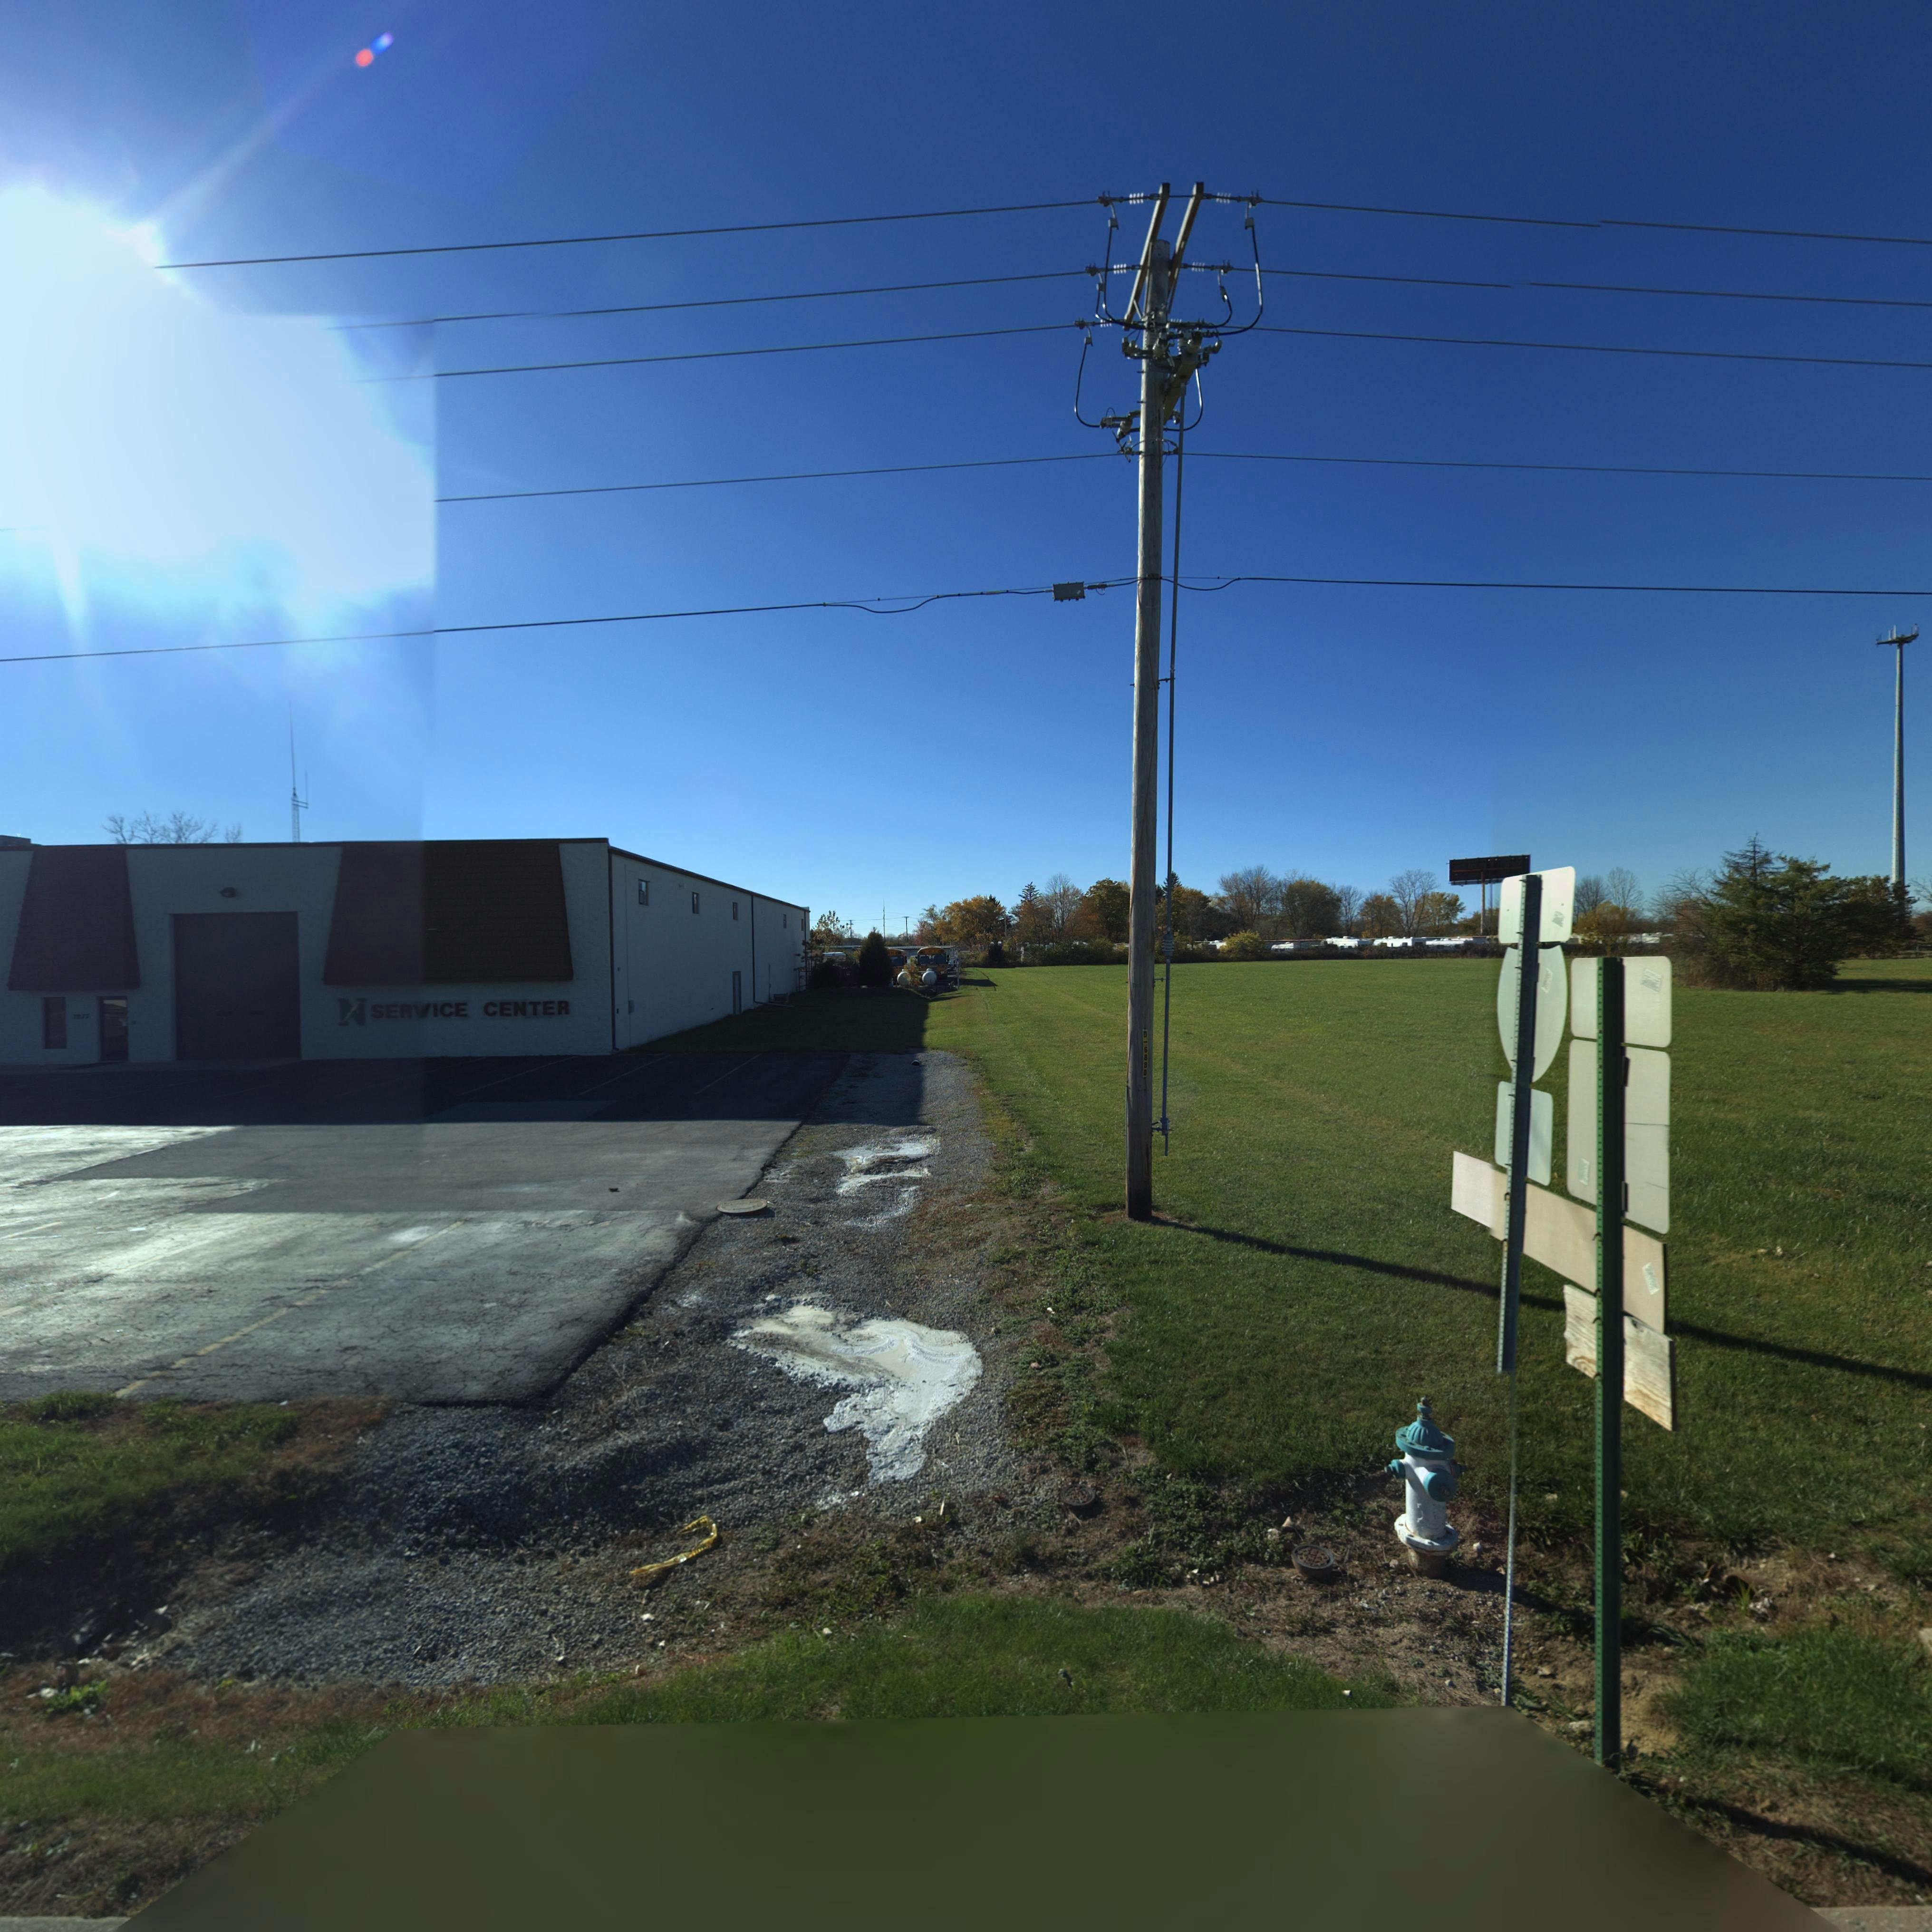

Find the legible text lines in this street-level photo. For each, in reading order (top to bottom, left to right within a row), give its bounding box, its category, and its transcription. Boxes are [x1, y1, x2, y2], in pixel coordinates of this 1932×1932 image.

[72, 1013, 90, 1020] StreetNumber: *277